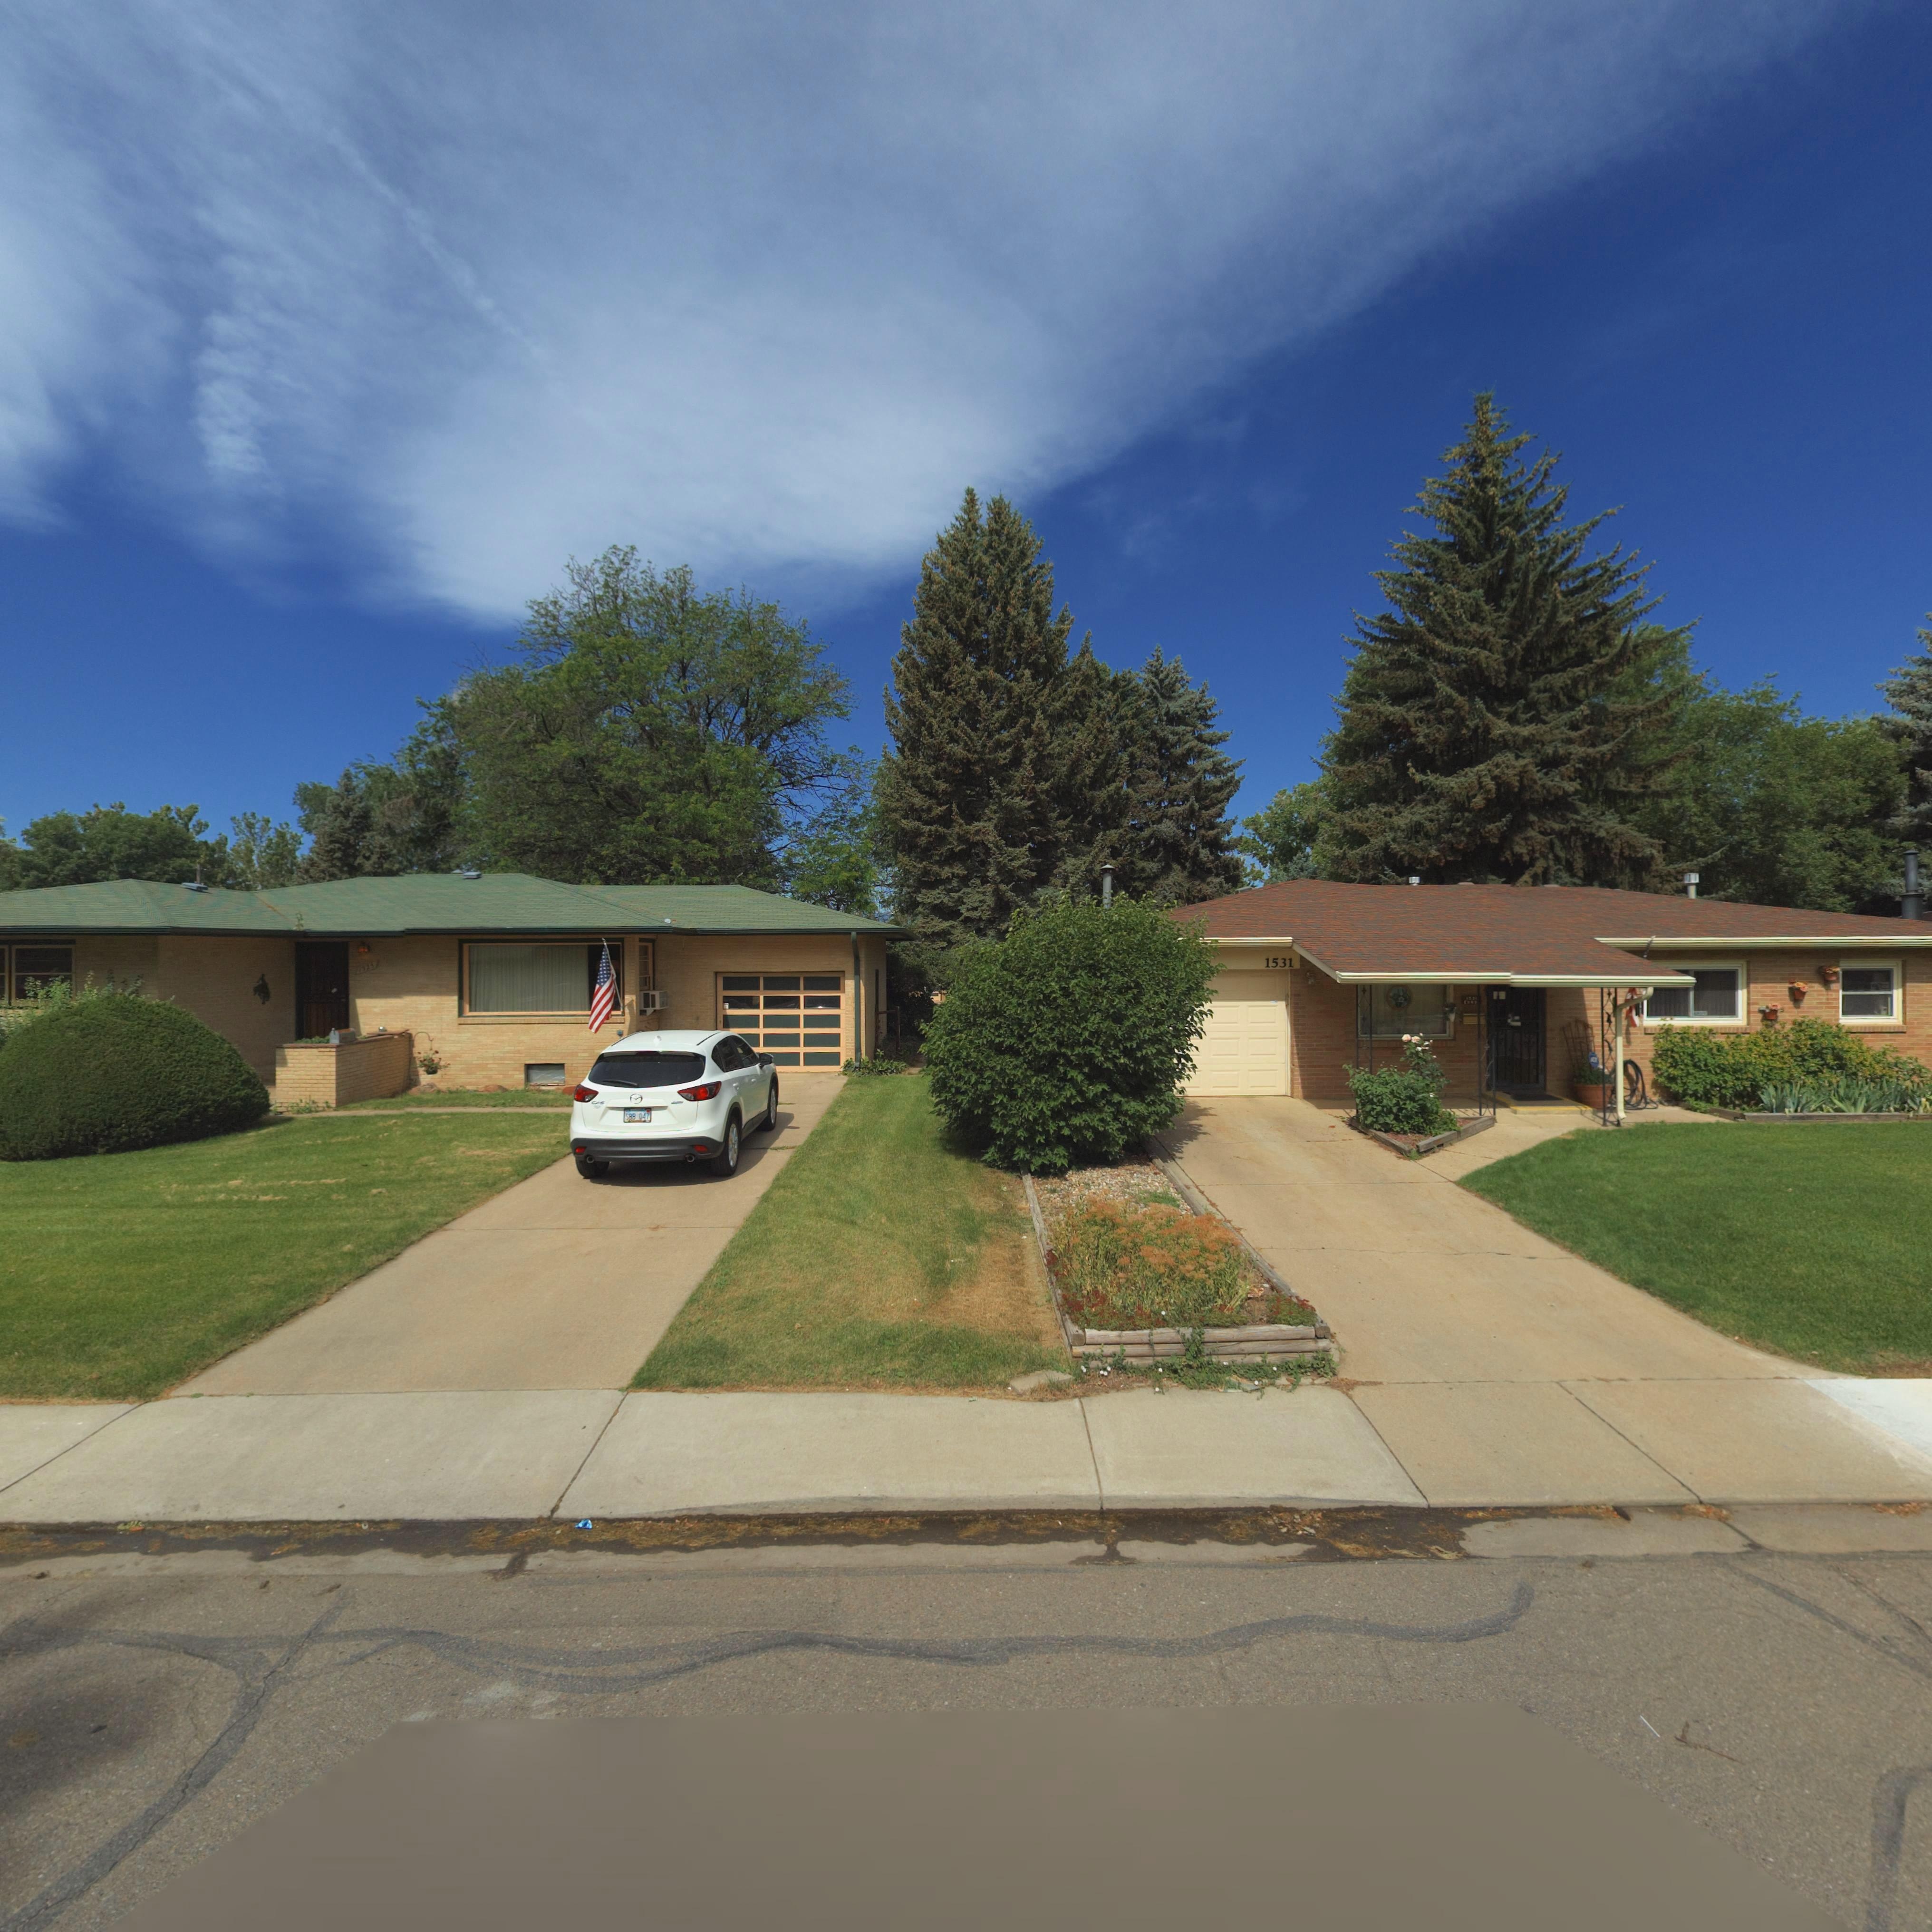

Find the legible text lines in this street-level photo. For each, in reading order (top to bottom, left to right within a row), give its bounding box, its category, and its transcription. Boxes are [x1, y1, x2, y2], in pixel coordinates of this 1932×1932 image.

[358, 962, 375, 972] StreetNumber: 1**5
[1264, 957, 1293, 968] StreetNumber: 1531